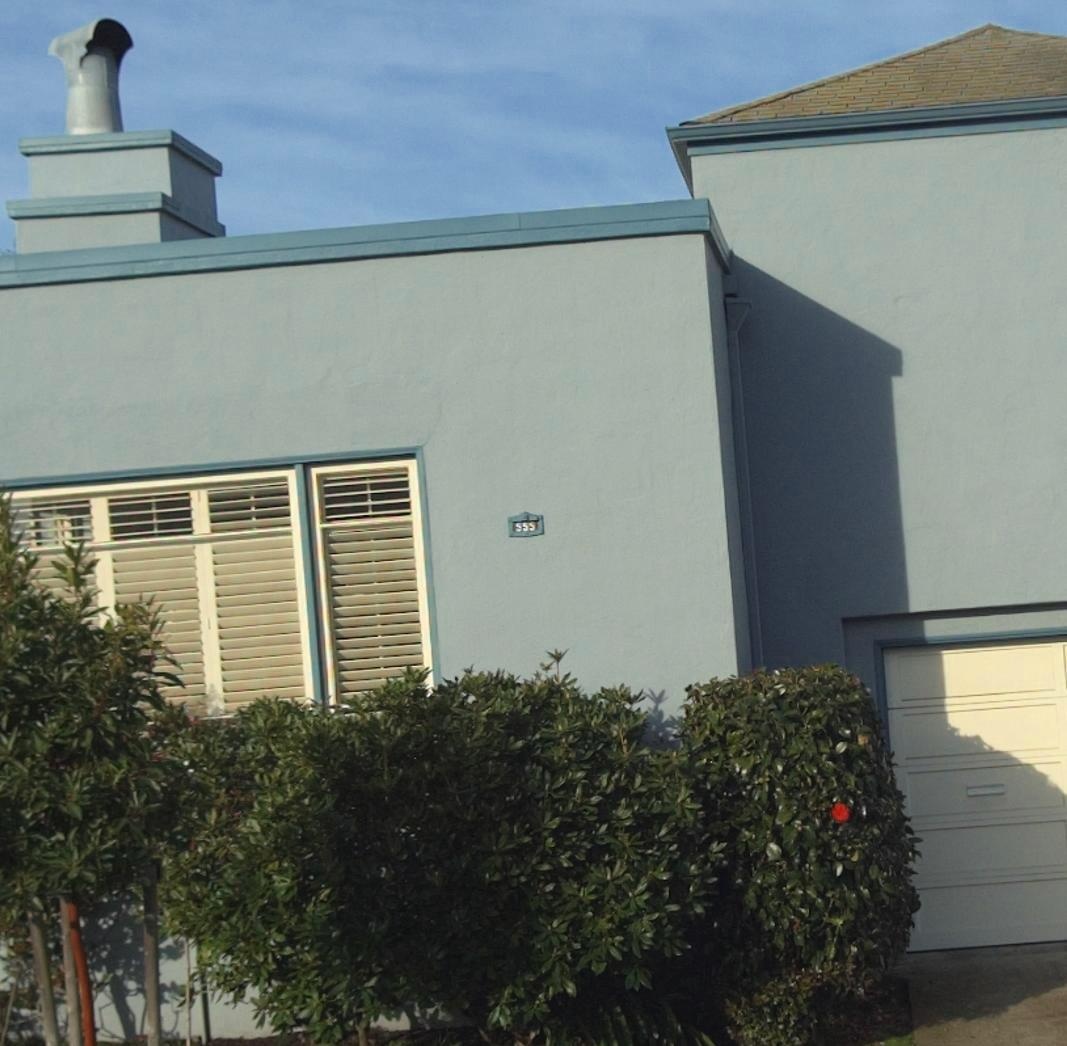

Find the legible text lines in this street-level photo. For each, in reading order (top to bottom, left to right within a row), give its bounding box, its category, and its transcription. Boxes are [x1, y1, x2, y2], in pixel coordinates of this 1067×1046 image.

[513, 518, 538, 534] StreetNumber: 555